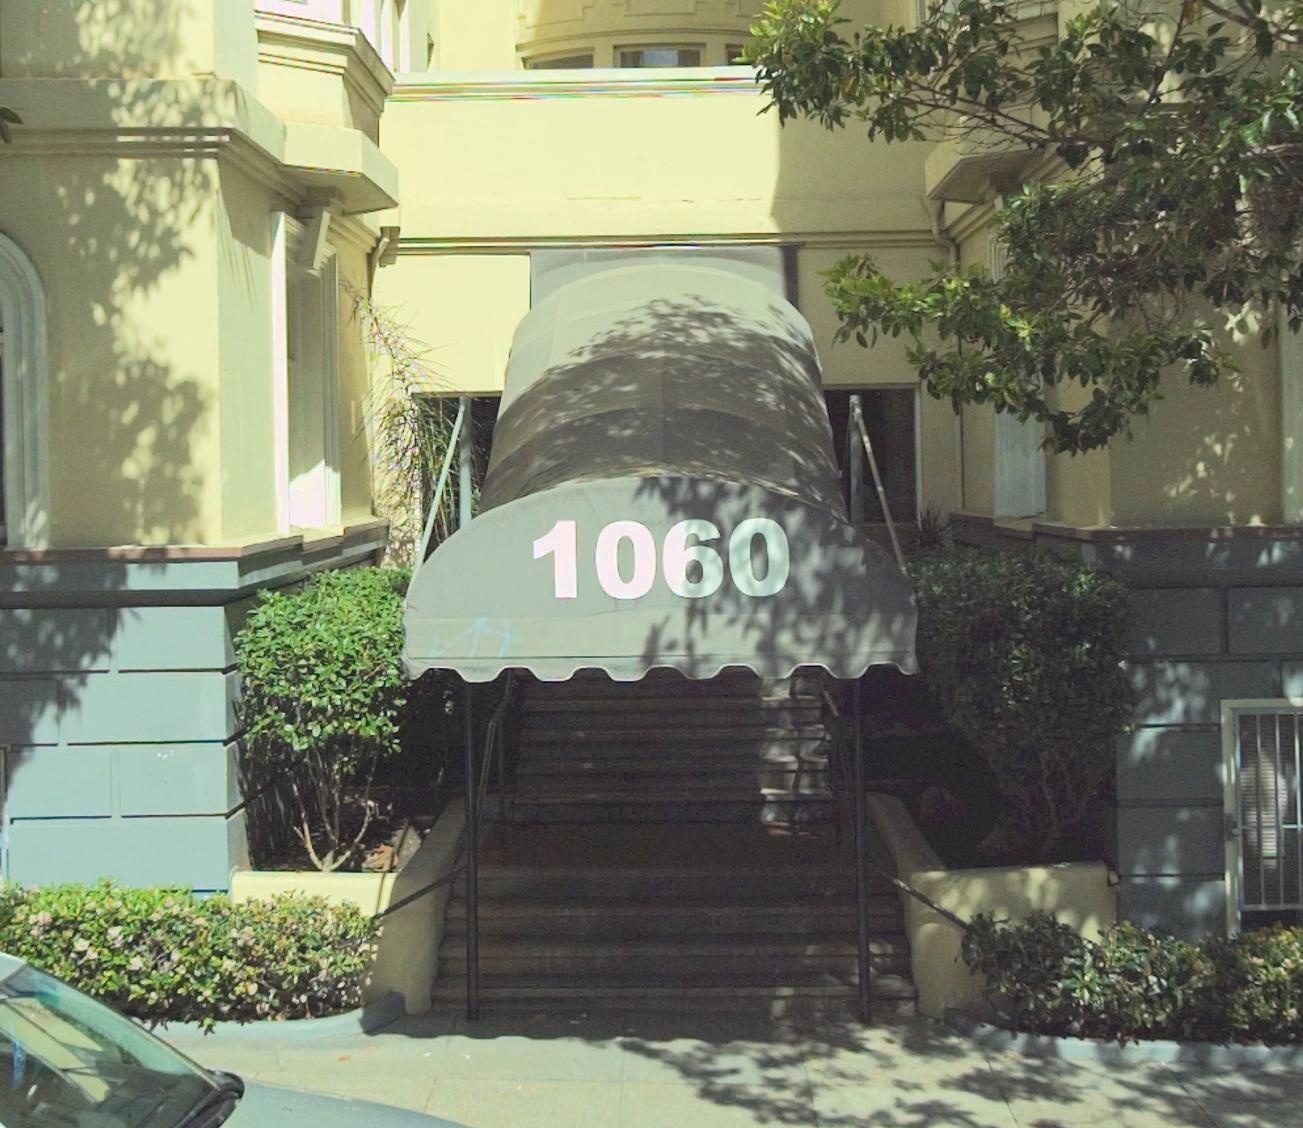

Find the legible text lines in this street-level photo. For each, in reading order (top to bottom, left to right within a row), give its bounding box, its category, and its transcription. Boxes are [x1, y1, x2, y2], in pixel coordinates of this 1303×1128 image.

[524, 512, 796, 606] StreetNumber: 1060